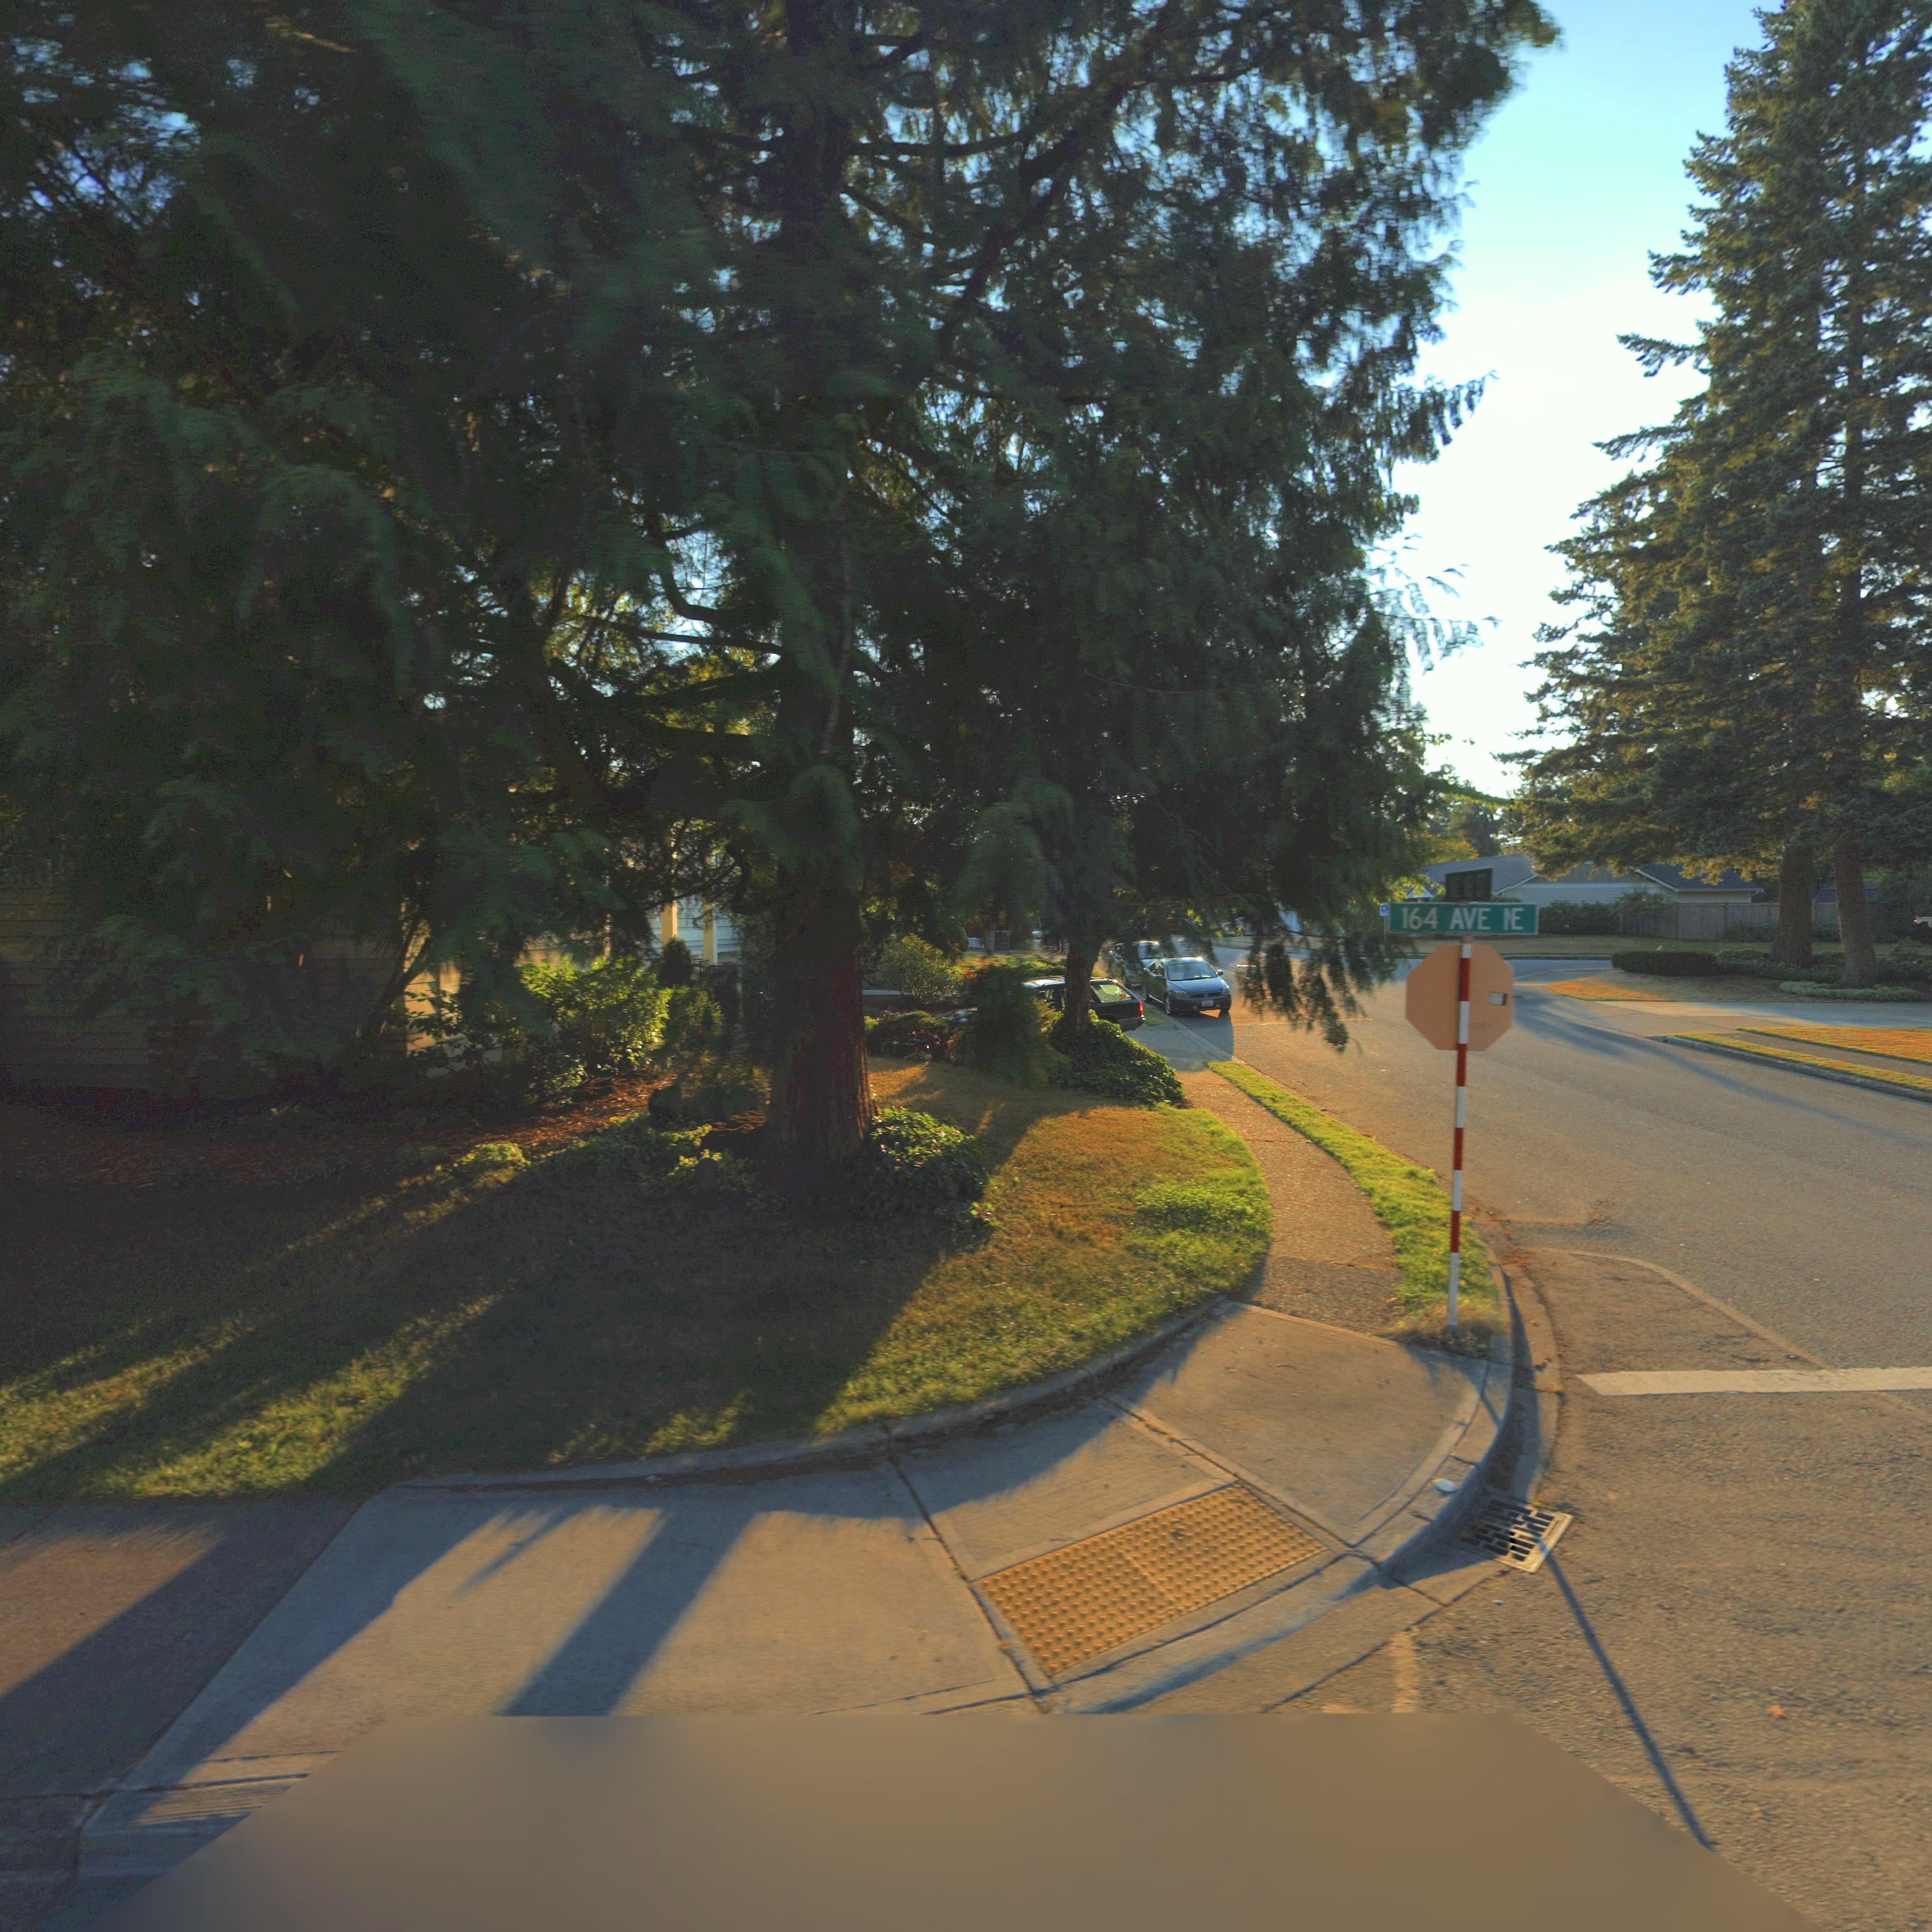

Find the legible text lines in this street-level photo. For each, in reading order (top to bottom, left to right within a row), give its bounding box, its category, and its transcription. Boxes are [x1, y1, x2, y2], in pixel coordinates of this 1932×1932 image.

[1401, 906, 1526, 931] StreetName: 164 AVE NE